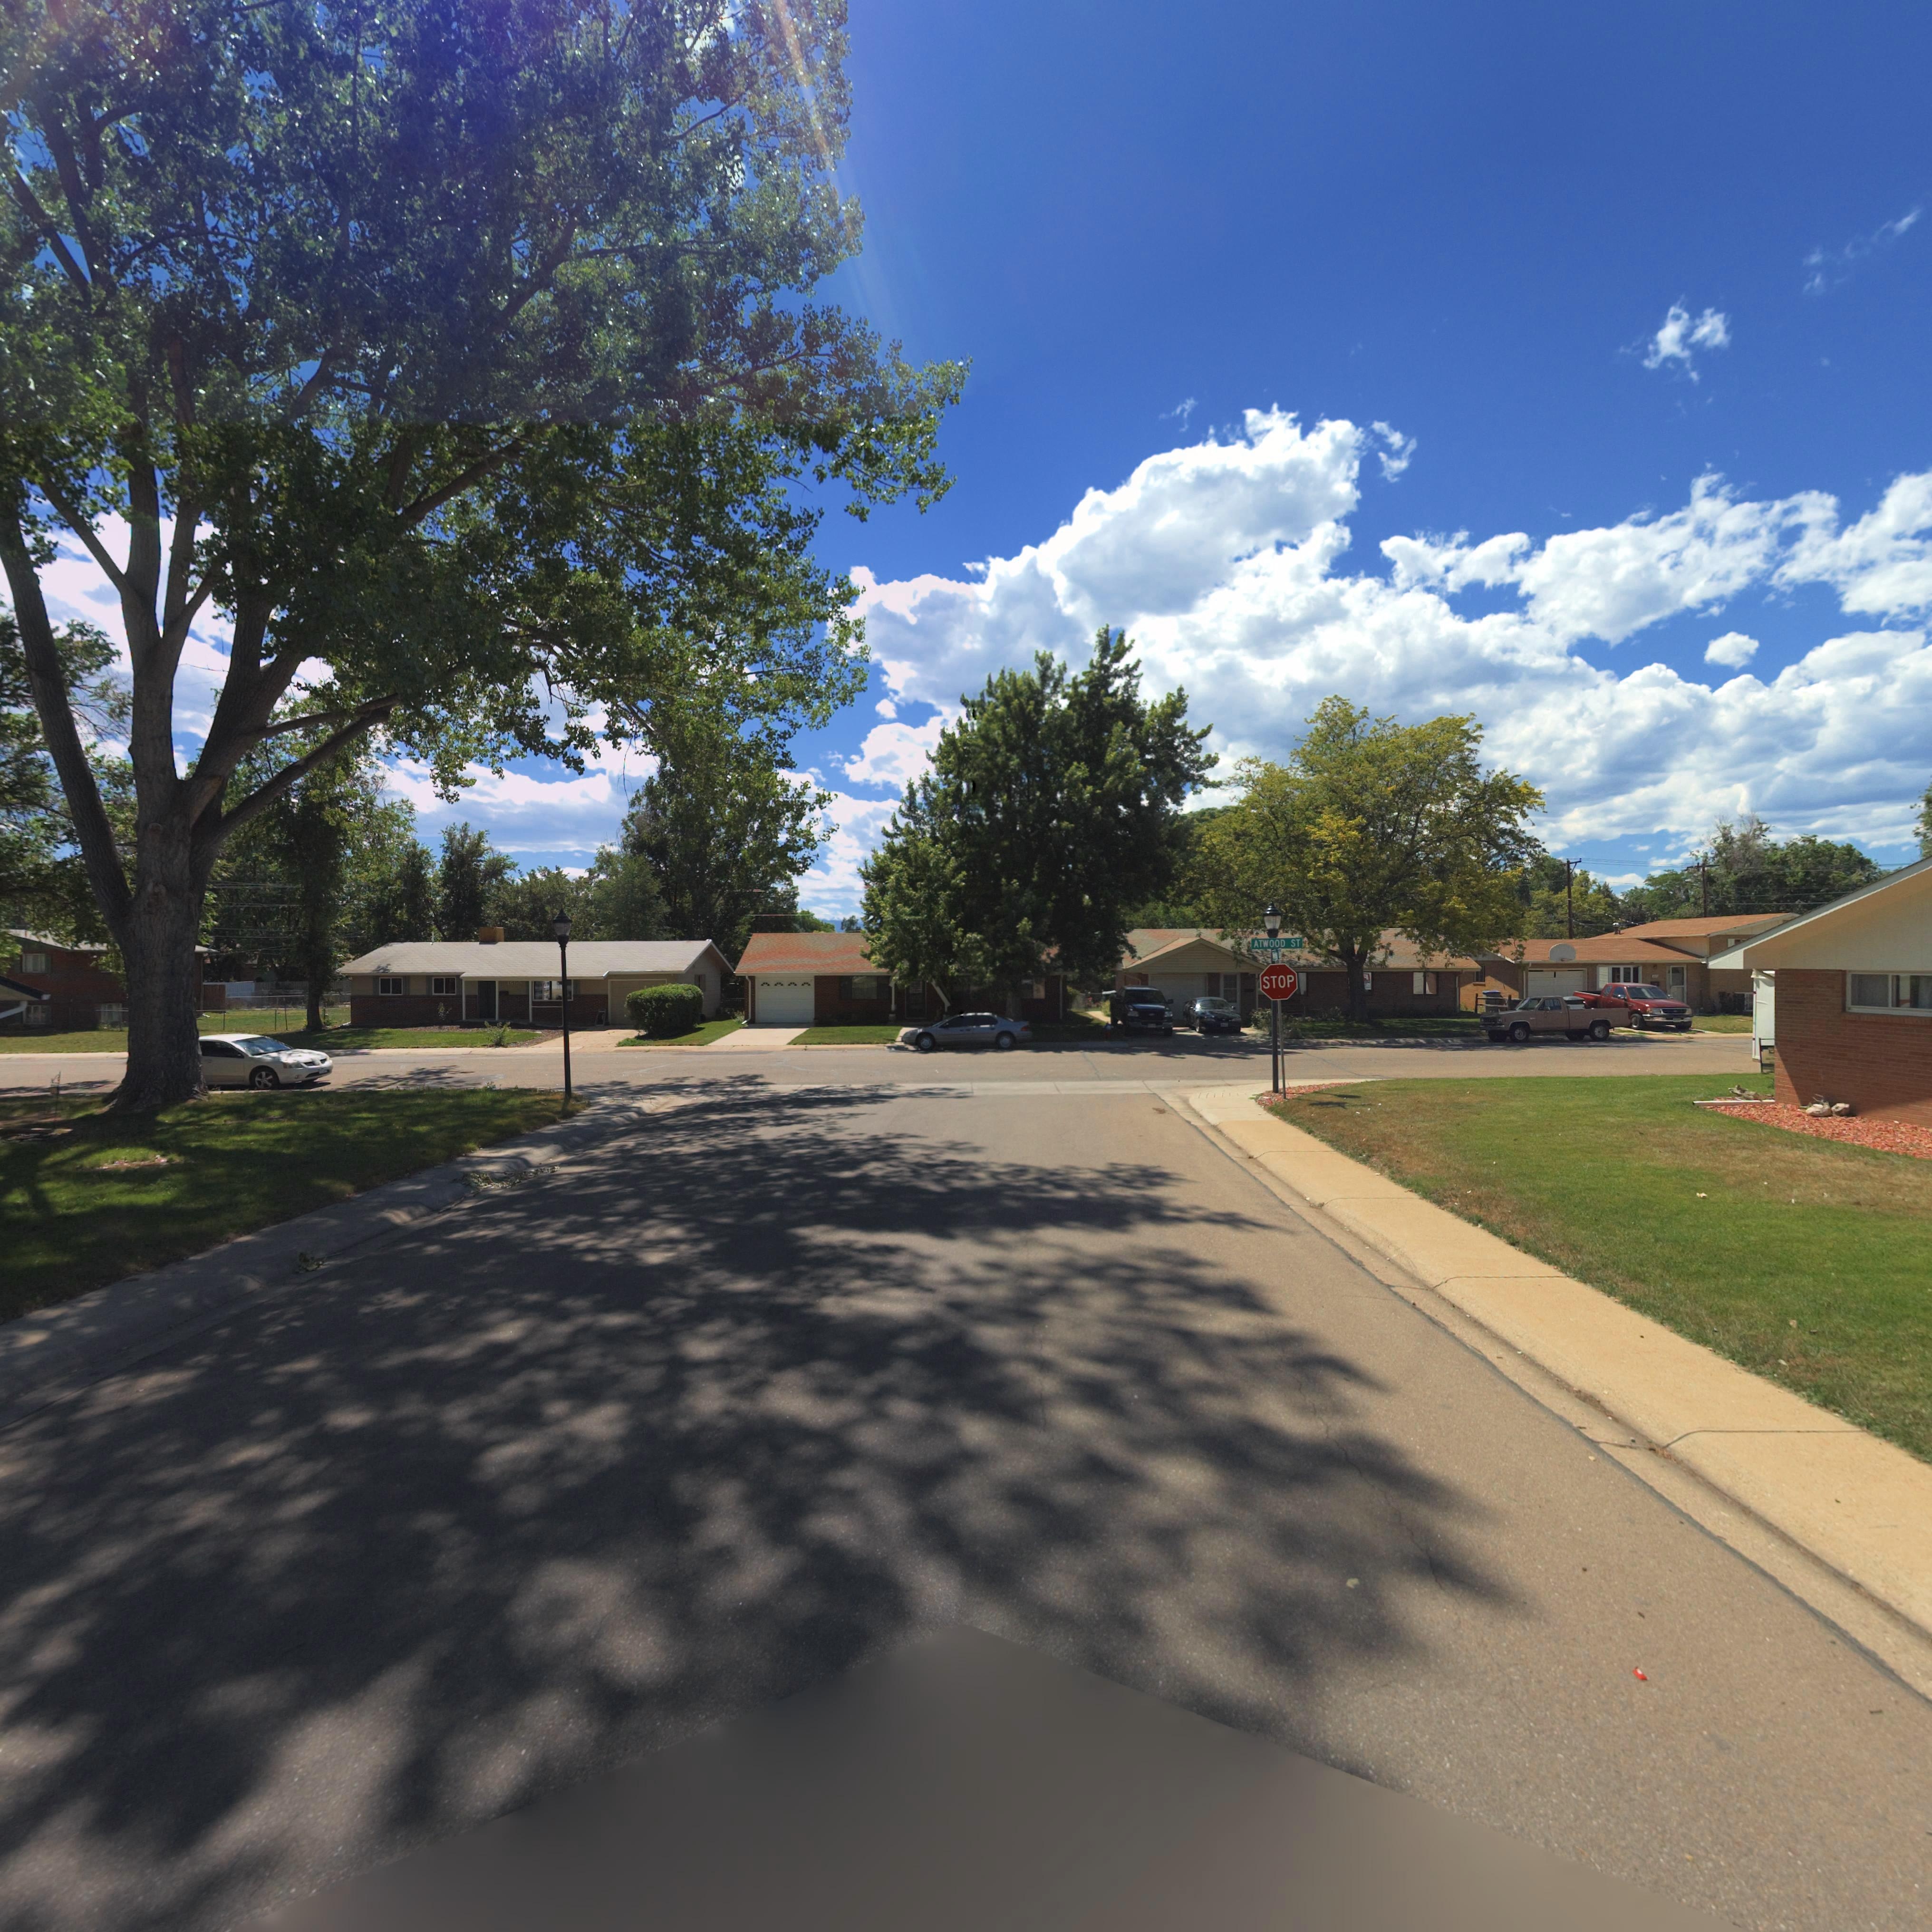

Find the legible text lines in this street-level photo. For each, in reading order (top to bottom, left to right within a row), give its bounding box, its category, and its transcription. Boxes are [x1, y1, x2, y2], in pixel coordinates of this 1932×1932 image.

[1253, 938, 1301, 948] StreetName: ATWOOD ST
[1271, 949, 1281, 959] StreetName: Me****** Ln
[507, 980, 522, 985] StreetNumber: 1605